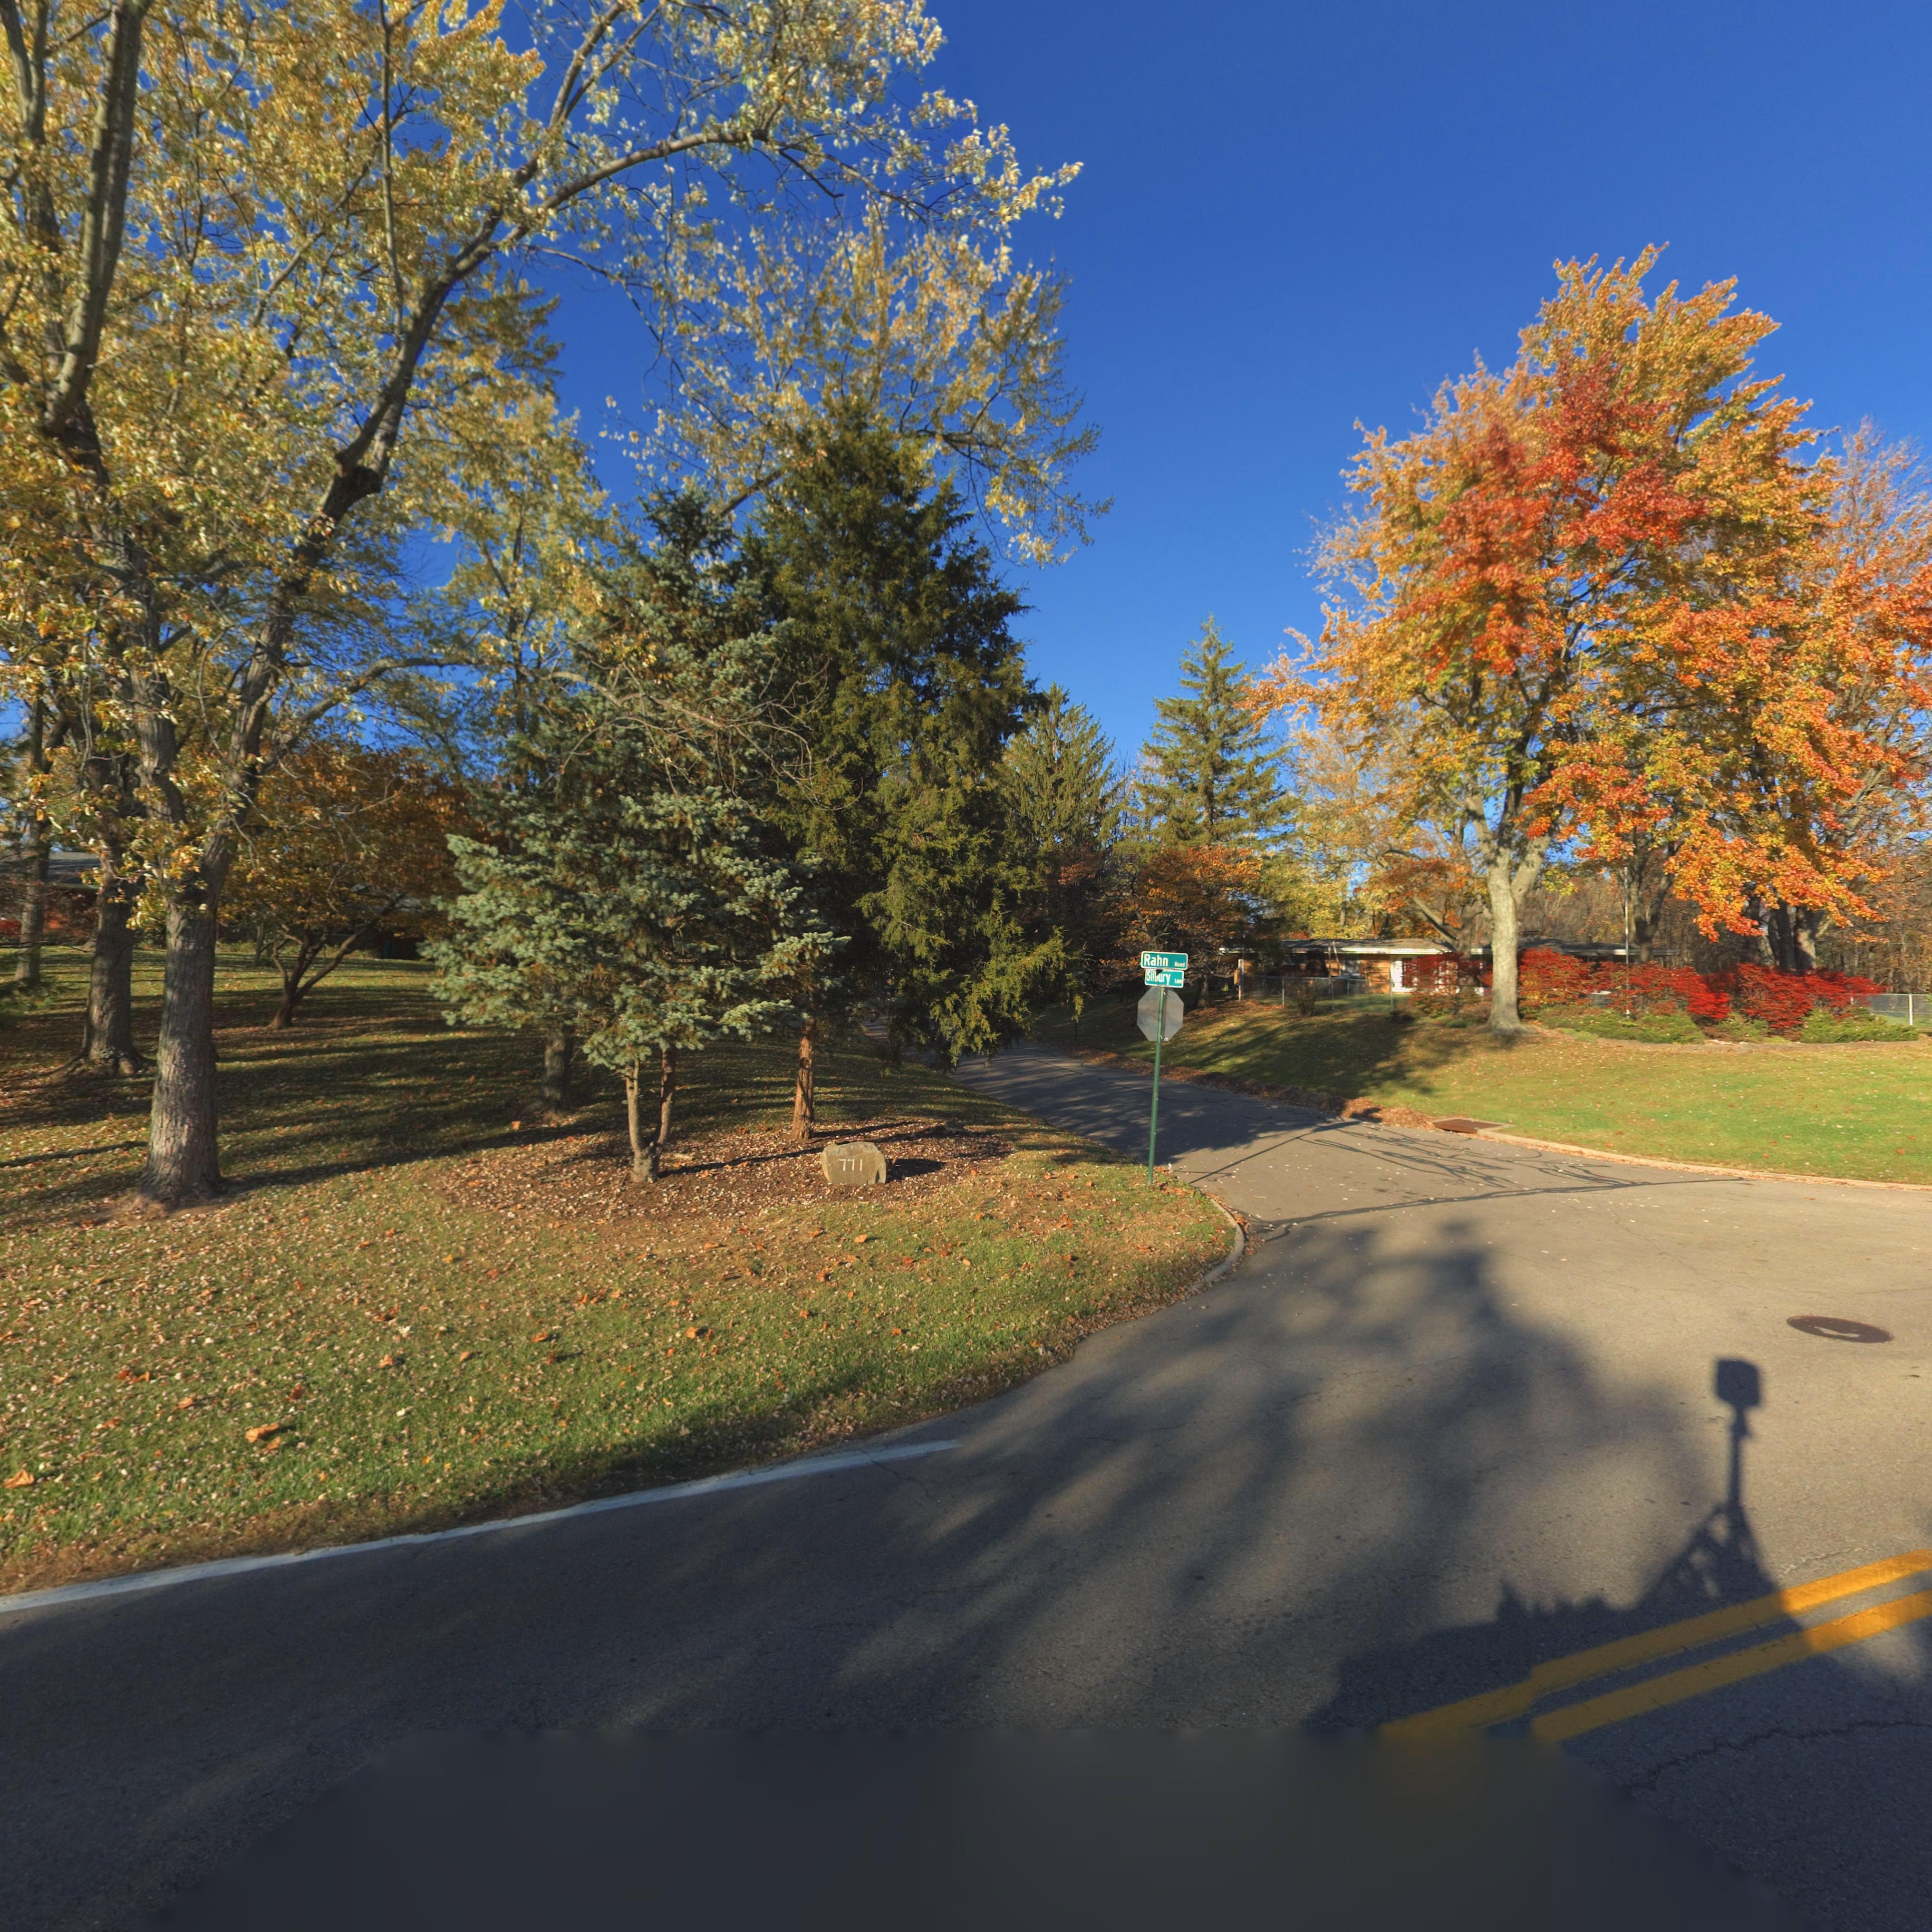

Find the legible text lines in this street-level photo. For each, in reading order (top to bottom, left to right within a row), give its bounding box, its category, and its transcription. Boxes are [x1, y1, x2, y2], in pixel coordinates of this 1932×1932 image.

[1143, 953, 1186, 968] StreetName: Rahn Road
[1146, 969, 1183, 986] StreetName: Silbury Lane
[838, 1158, 864, 1173] StreetNumber: 771